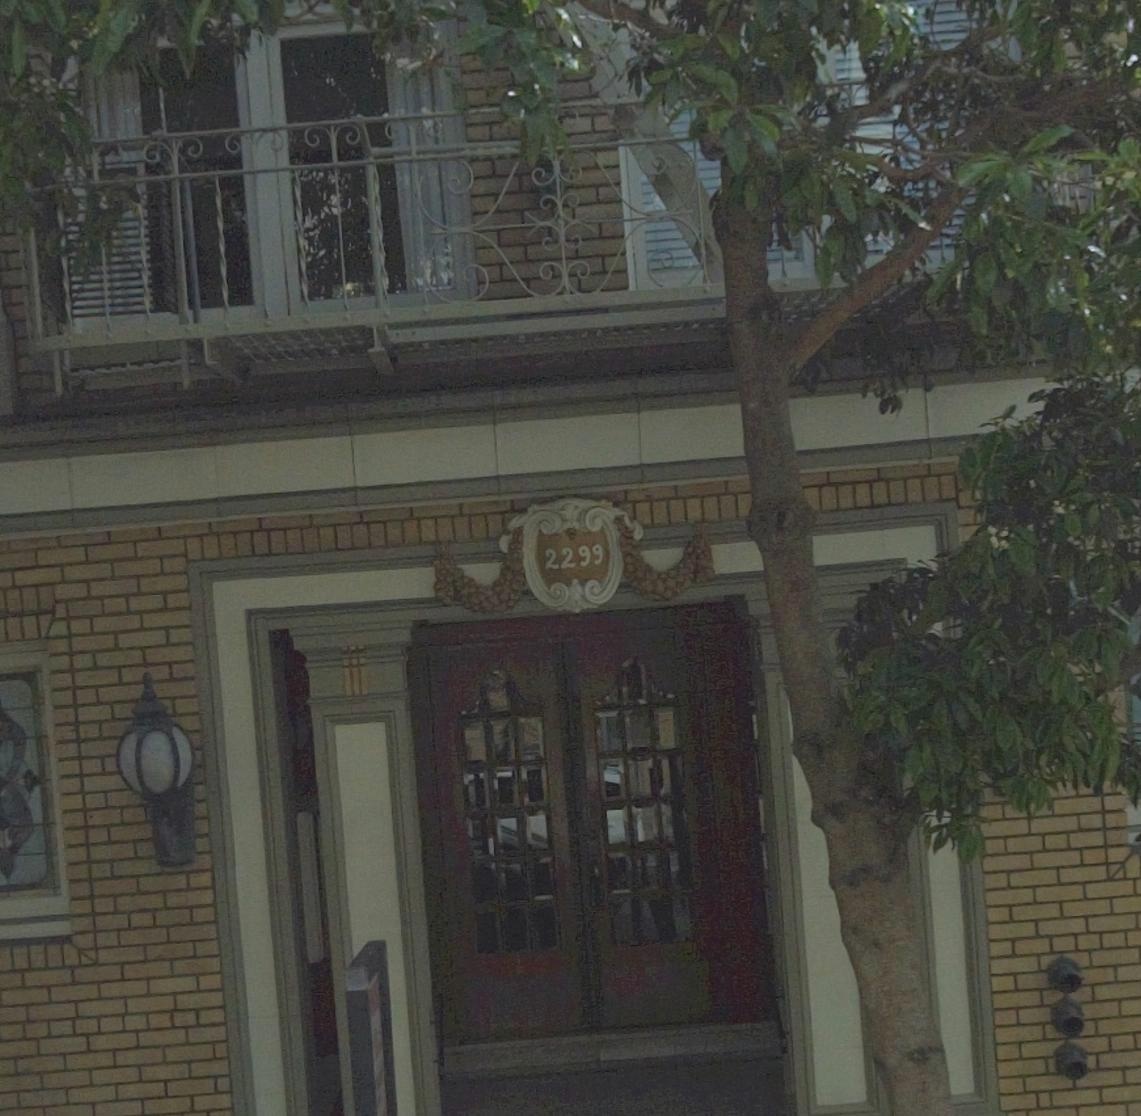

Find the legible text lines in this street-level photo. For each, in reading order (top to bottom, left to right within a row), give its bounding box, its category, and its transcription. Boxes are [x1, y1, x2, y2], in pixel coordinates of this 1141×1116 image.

[544, 541, 605, 572] StreetNumber: 2299